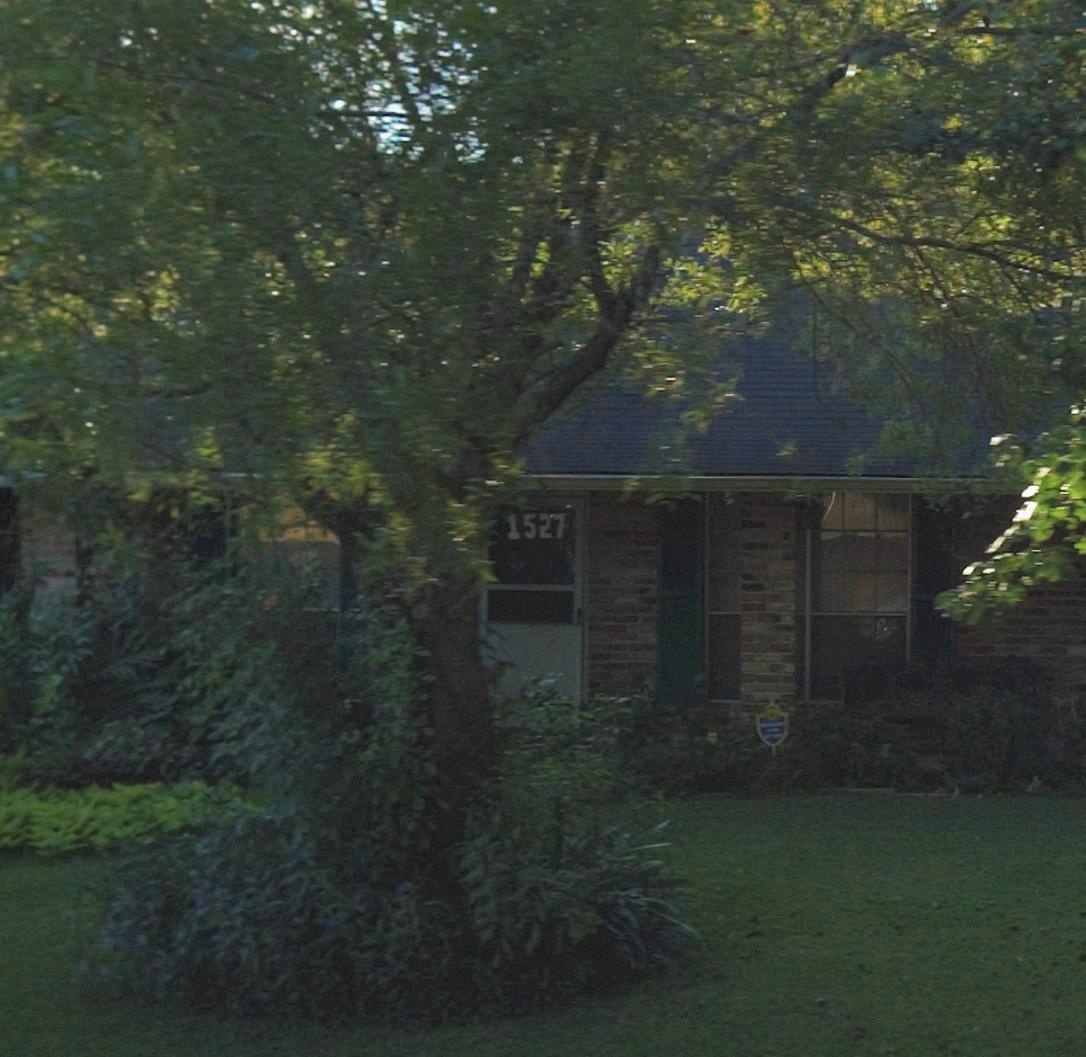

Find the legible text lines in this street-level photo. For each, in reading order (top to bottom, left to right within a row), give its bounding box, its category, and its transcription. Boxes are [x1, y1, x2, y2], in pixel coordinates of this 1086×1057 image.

[504, 511, 568, 542] StreetNumber: 1527